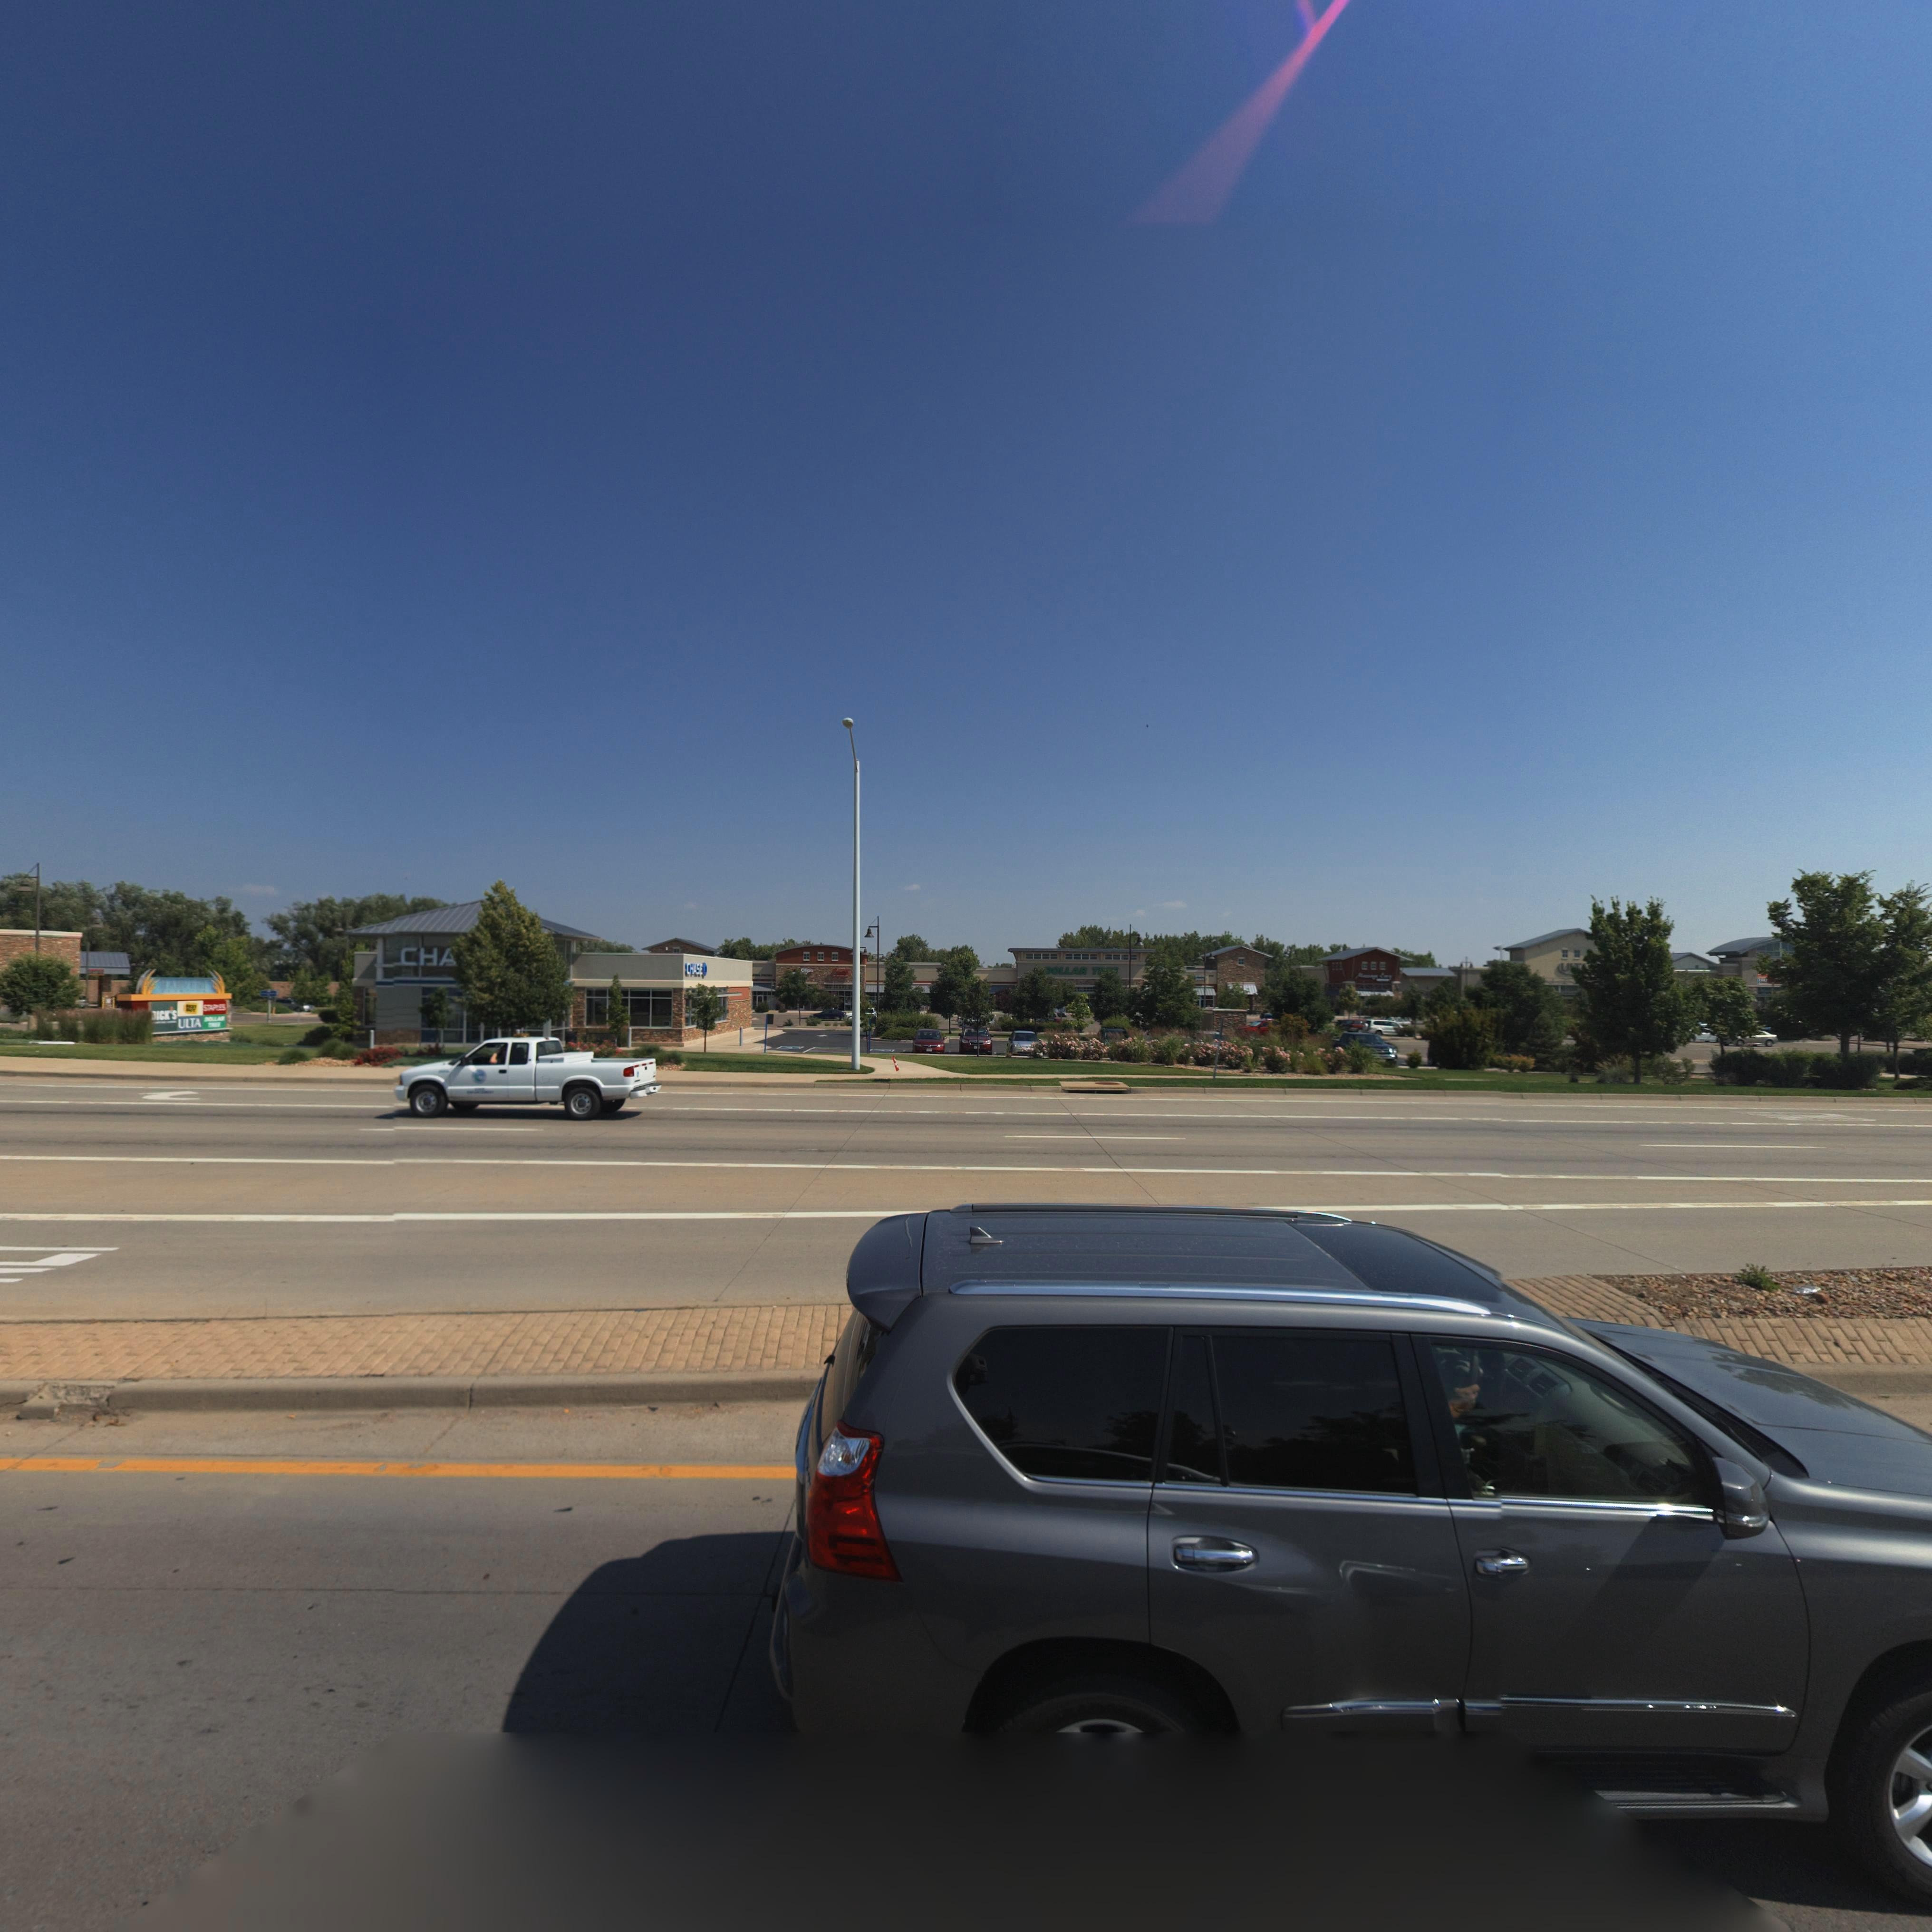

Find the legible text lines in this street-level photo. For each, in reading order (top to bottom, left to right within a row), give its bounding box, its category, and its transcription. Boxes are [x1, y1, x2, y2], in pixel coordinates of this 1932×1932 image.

[400, 947, 459, 967] BusinessName: CHA
[686, 962, 703, 975] BusinessName: CHASE
[801, 968, 814, 974] BusinessName: Clip*
[1043, 966, 1120, 976] BusinessName: DOLLAR T***
[1560, 962, 1590, 973] BusinessName: U*T*
[1354, 971, 1393, 980] BusinessName: M****** E**y
[202, 1003, 227, 1012] BusinessName: STAPLES
[151, 1005, 178, 1021] BusinessName: DICK'S
[178, 1017, 202, 1029] BusinessName: ULTA
[207, 1022, 221, 1027] BusinessName: T***
[203, 1015, 225, 1022] BusinessName: DOLLA*